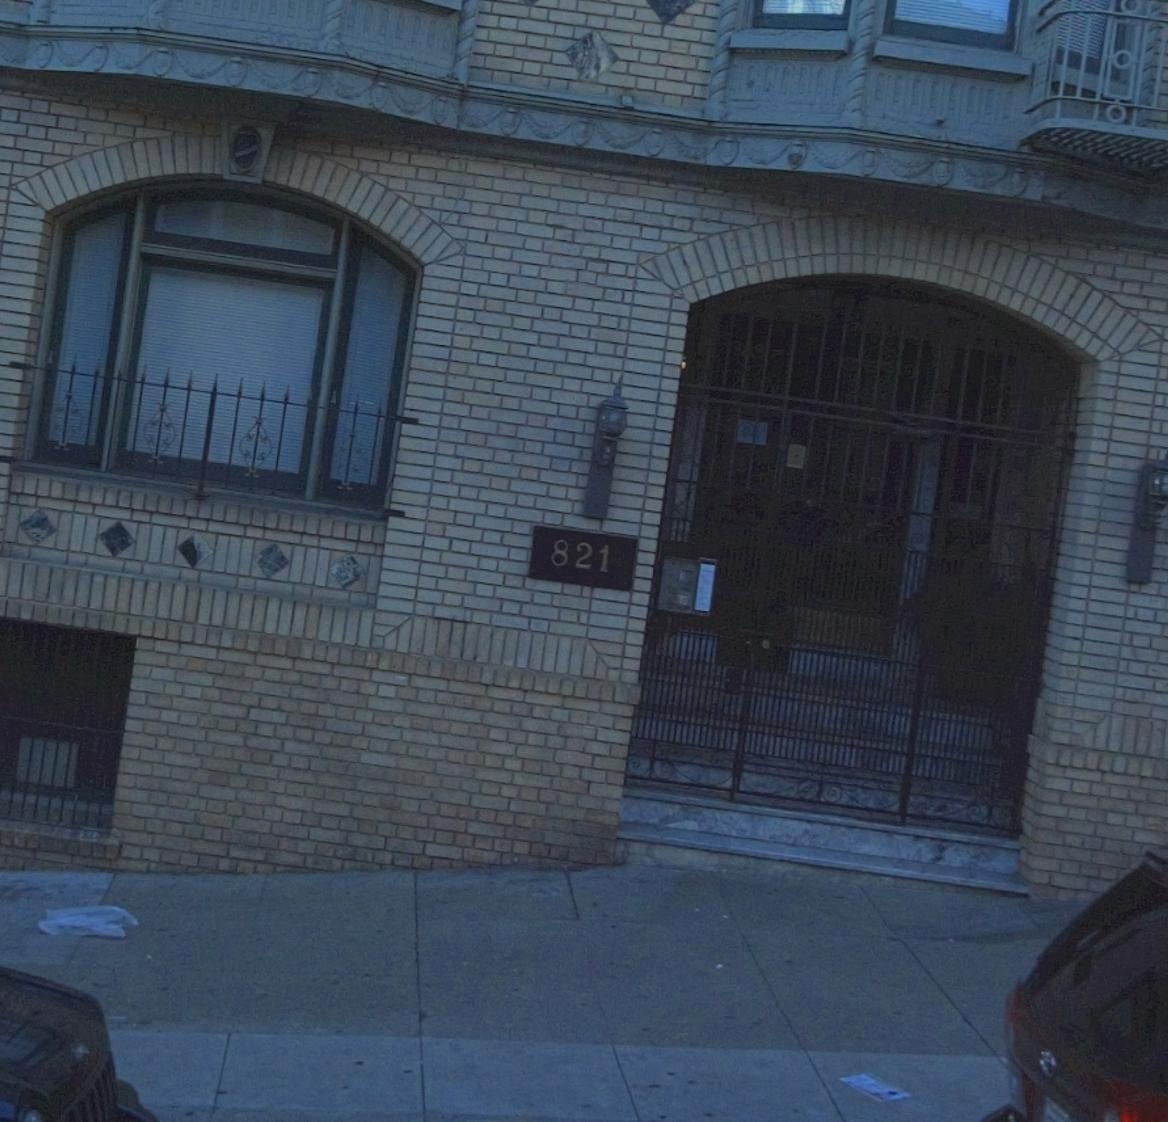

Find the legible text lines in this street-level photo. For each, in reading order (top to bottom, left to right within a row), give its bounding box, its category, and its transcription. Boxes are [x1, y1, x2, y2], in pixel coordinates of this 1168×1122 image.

[547, 536, 613, 574] StreetNumber: 821